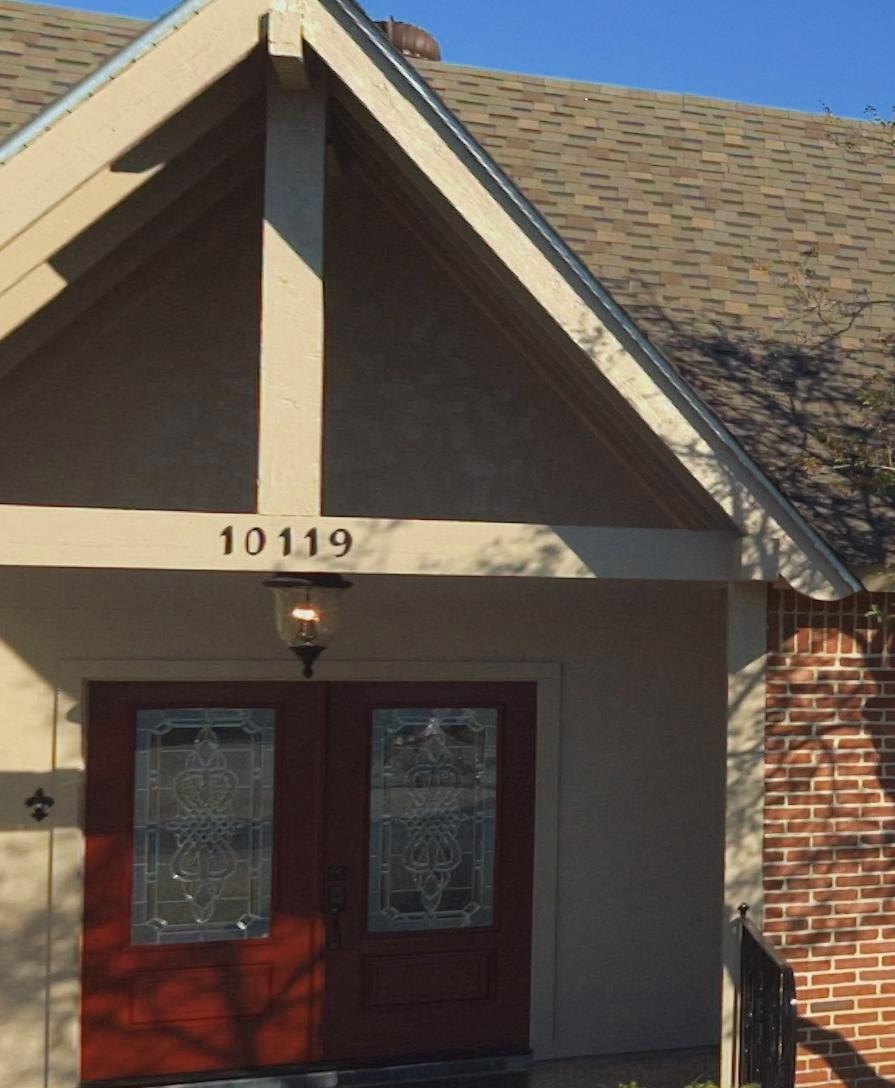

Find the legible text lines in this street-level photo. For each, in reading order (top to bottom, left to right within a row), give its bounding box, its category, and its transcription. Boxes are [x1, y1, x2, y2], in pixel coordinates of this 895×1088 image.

[214, 523, 355, 561] StreetNumber: 10119